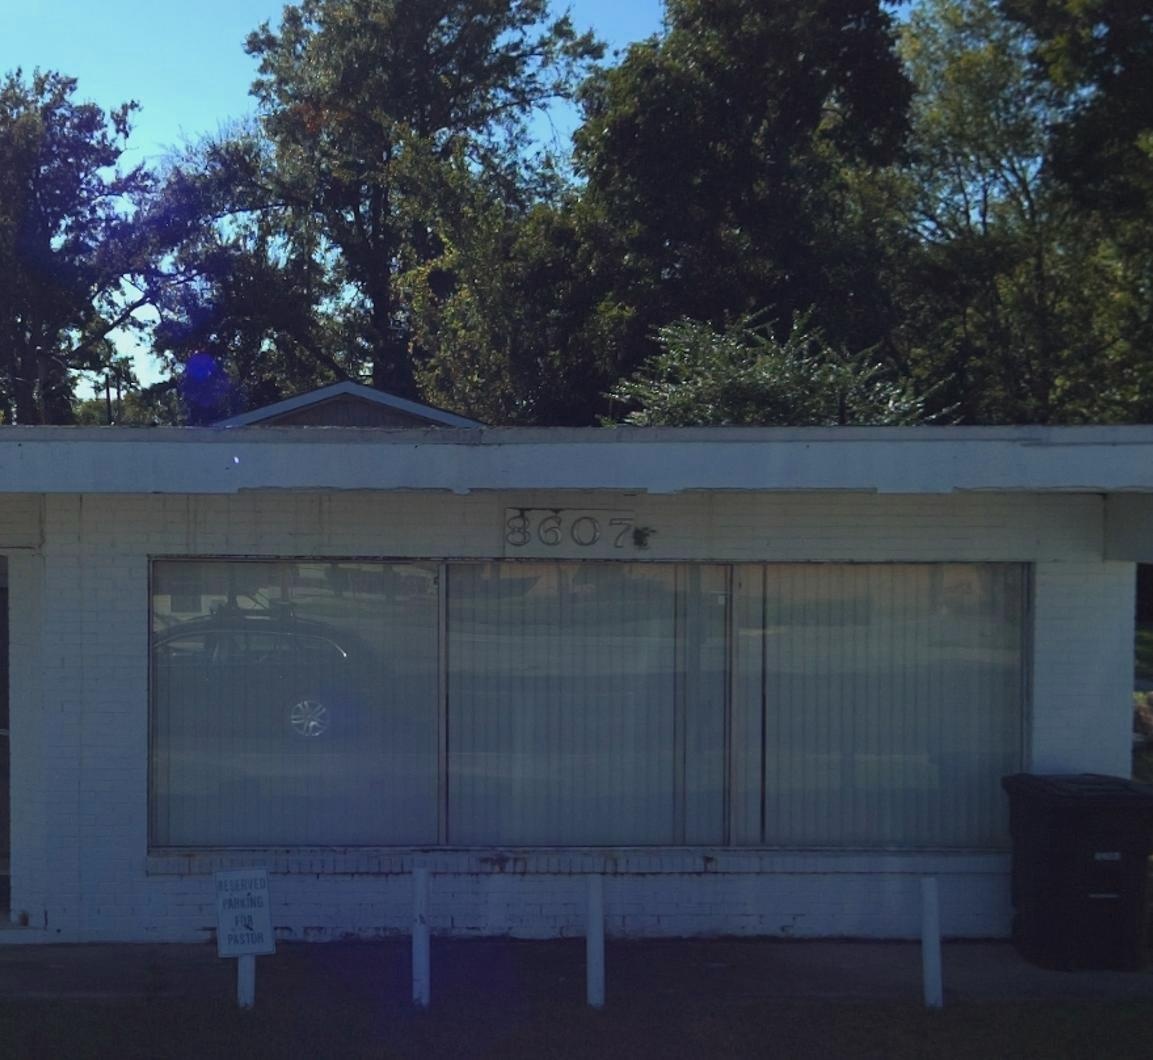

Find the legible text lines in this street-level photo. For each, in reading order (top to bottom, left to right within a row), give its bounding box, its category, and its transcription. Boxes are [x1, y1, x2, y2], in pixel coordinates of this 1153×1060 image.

[504, 513, 636, 549] StreetNumber: 8607
[216, 877, 267, 892] None: RESERVED
[221, 895, 264, 911] None: PARKING
[232, 914, 254, 928] None: FOR
[226, 931, 265, 946] None: PASTOR